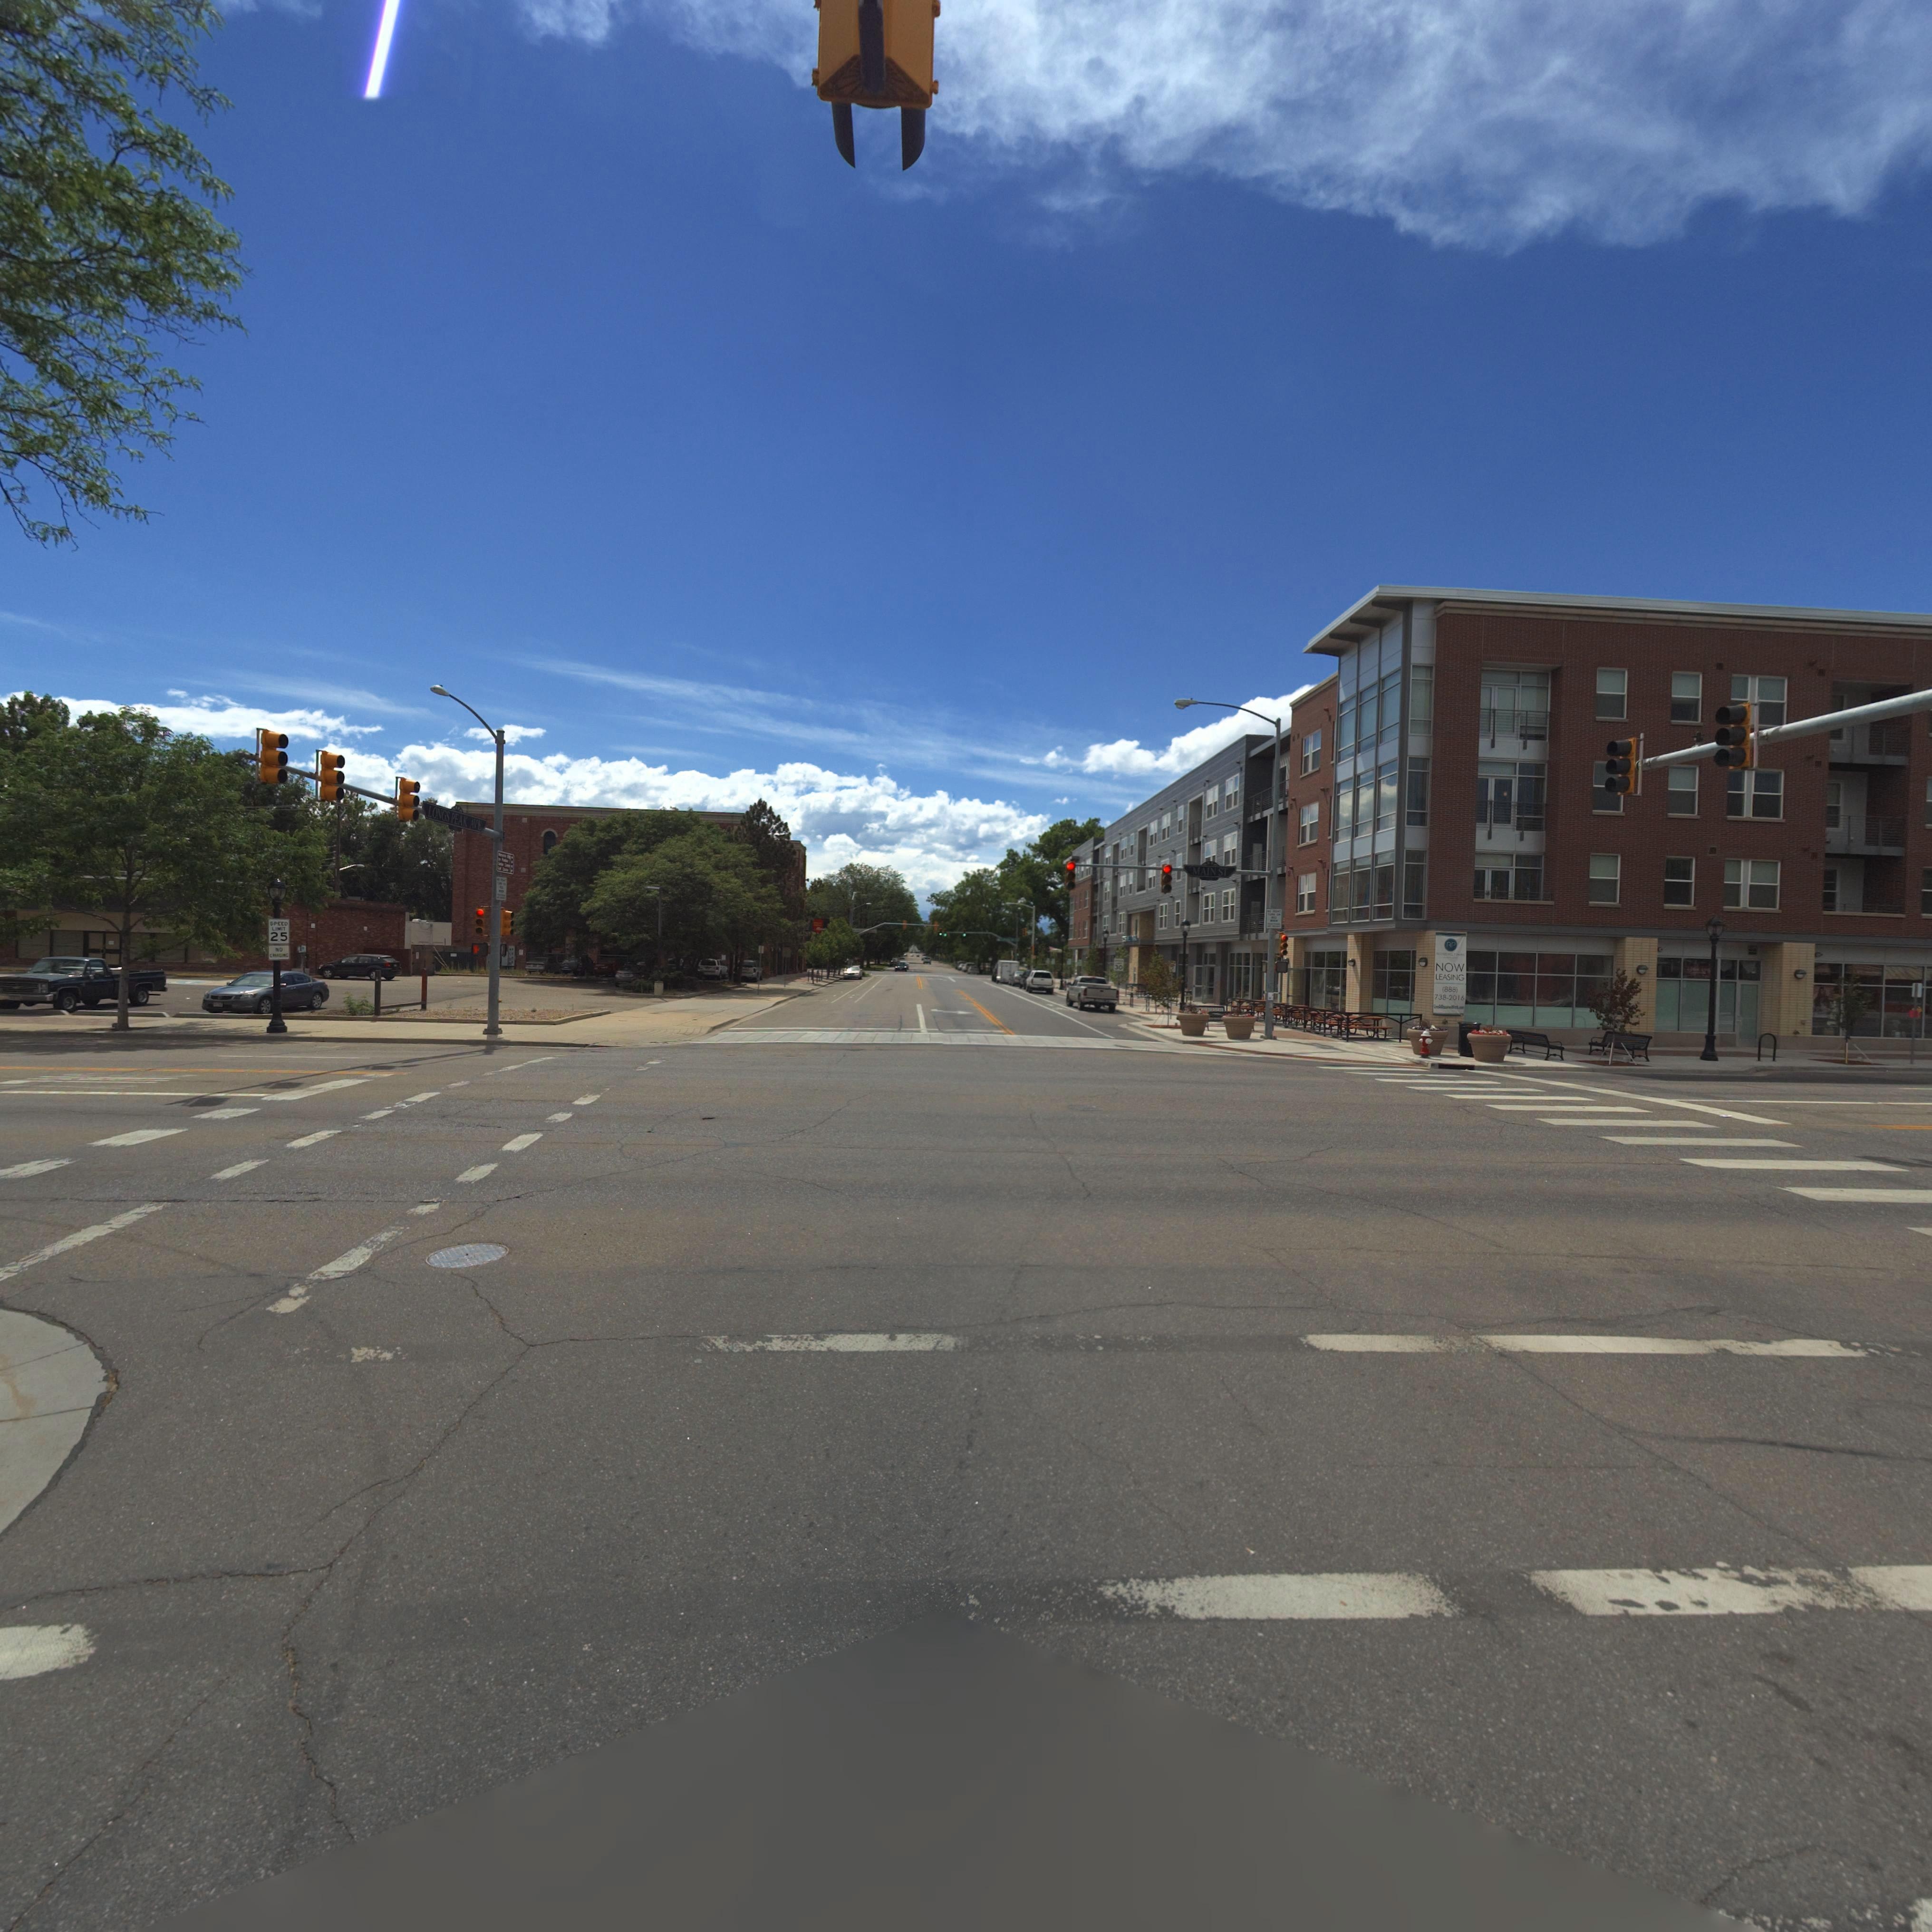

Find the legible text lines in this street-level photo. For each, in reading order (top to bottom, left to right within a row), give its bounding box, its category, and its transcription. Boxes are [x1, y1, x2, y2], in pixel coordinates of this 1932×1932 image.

[427, 805, 482, 831] StreetName: LONGS PEAK AVE
[1191, 867, 1229, 876] StreetName: MAIN ST